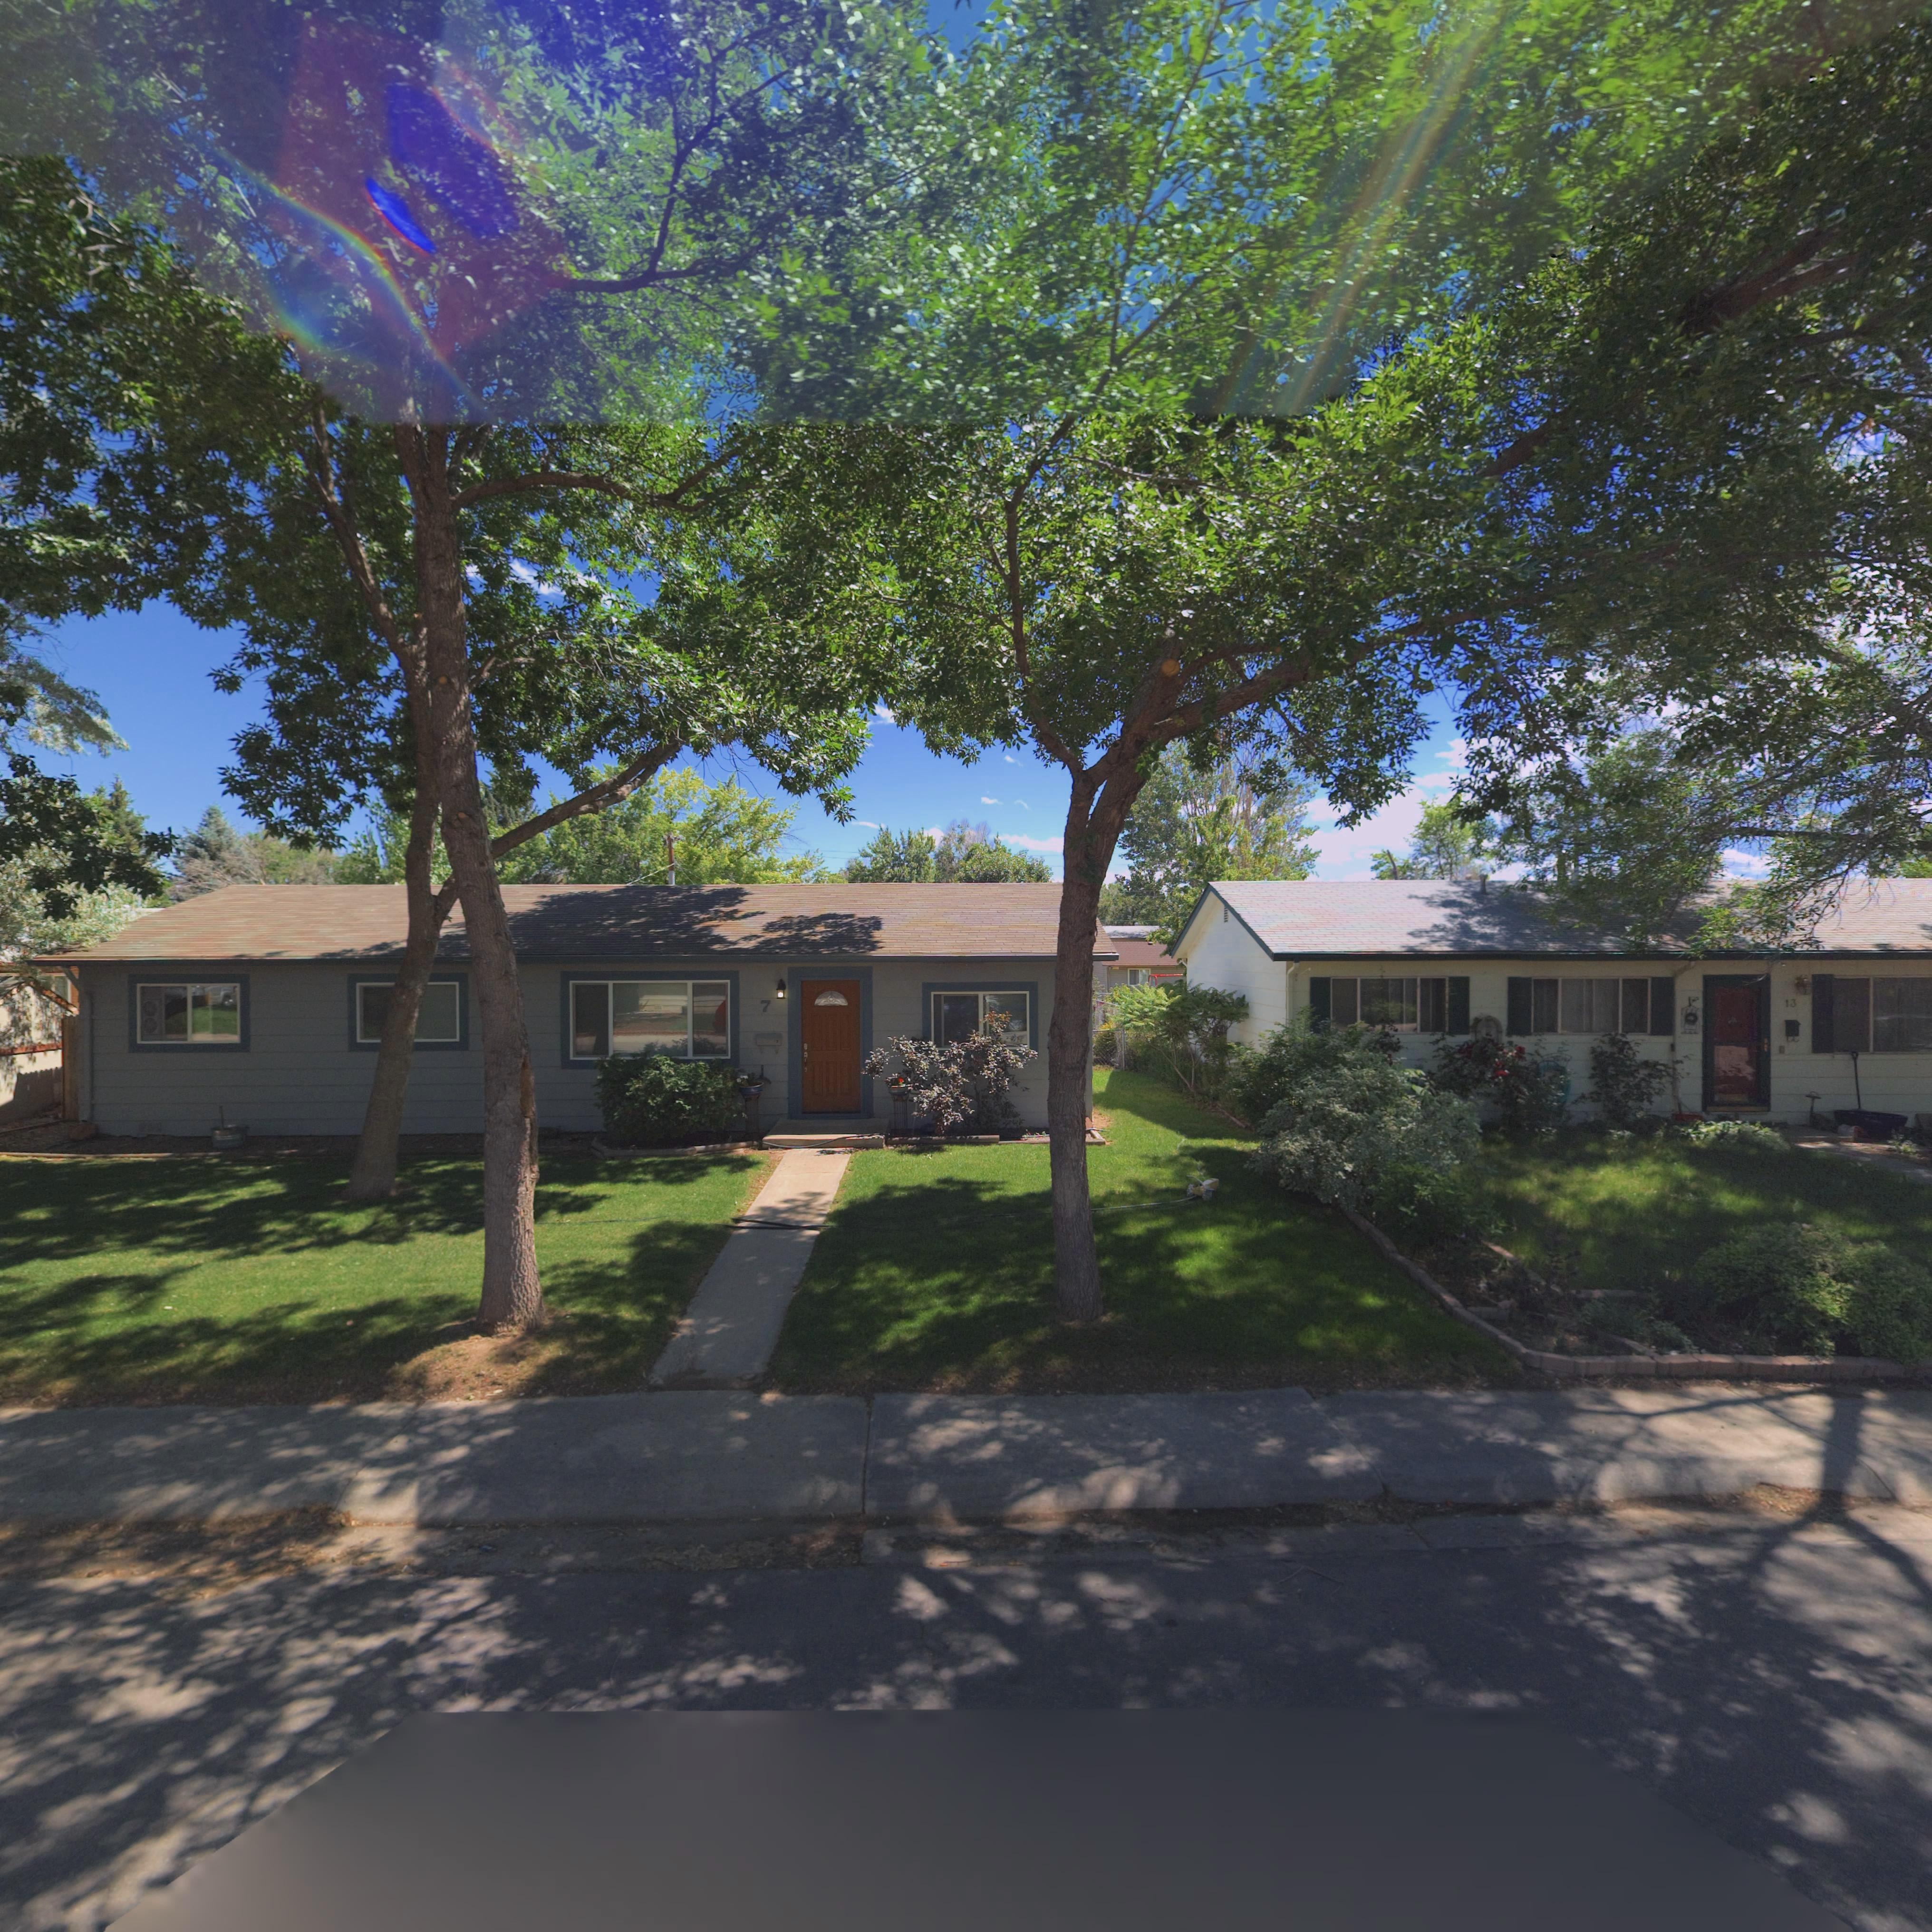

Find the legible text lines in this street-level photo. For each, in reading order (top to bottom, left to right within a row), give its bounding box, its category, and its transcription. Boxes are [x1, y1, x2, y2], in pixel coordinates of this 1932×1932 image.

[760, 999, 772, 1013] StreetNumber: 7
[1785, 998, 1797, 1008] StreetNumber: 13